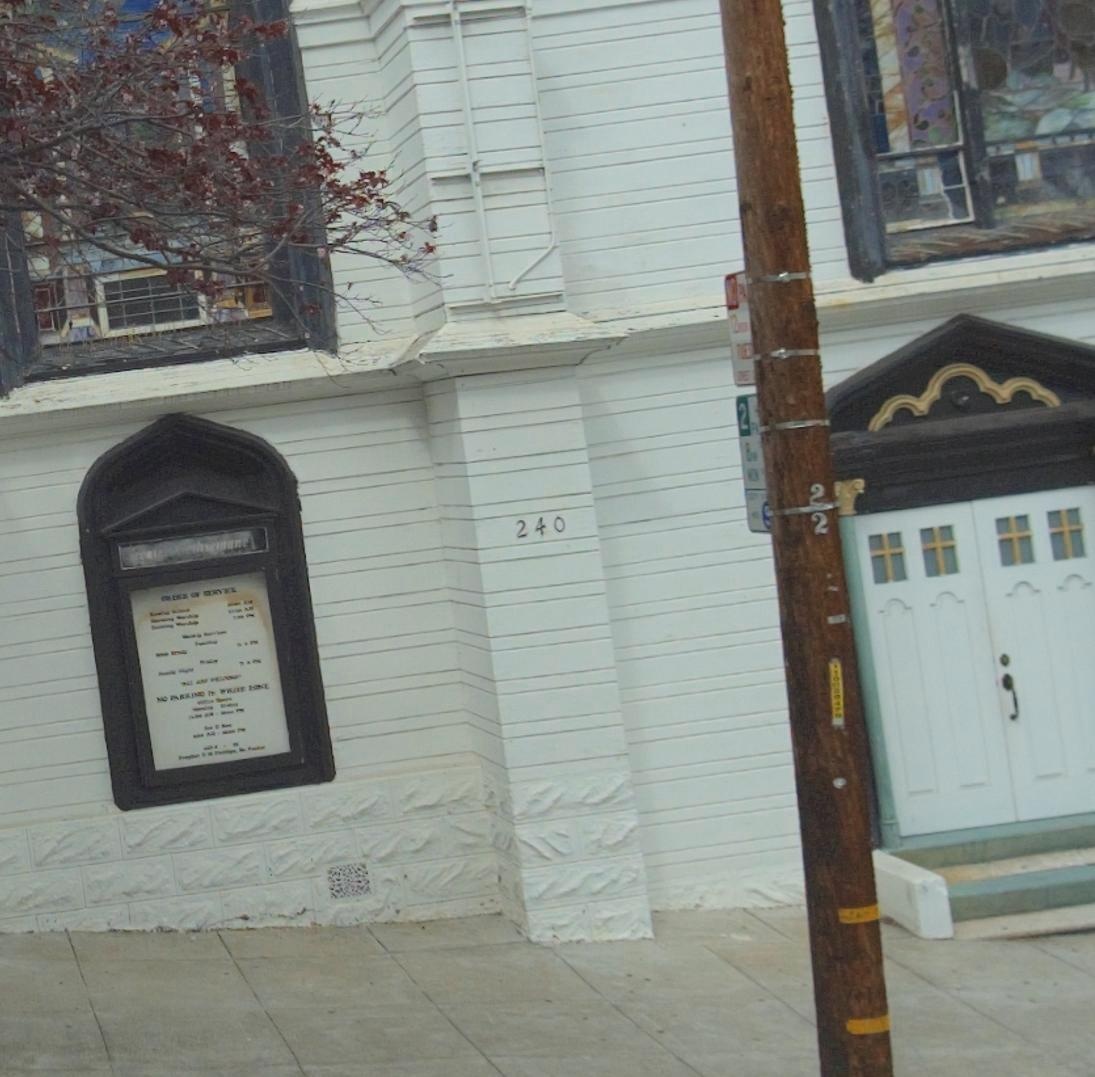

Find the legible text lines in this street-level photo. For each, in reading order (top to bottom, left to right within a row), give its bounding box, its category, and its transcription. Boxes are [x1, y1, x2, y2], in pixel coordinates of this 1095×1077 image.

[737, 401, 750, 432] None: 2
[808, 480, 831, 537] None: 22
[515, 514, 568, 540] StreetNumber: 240